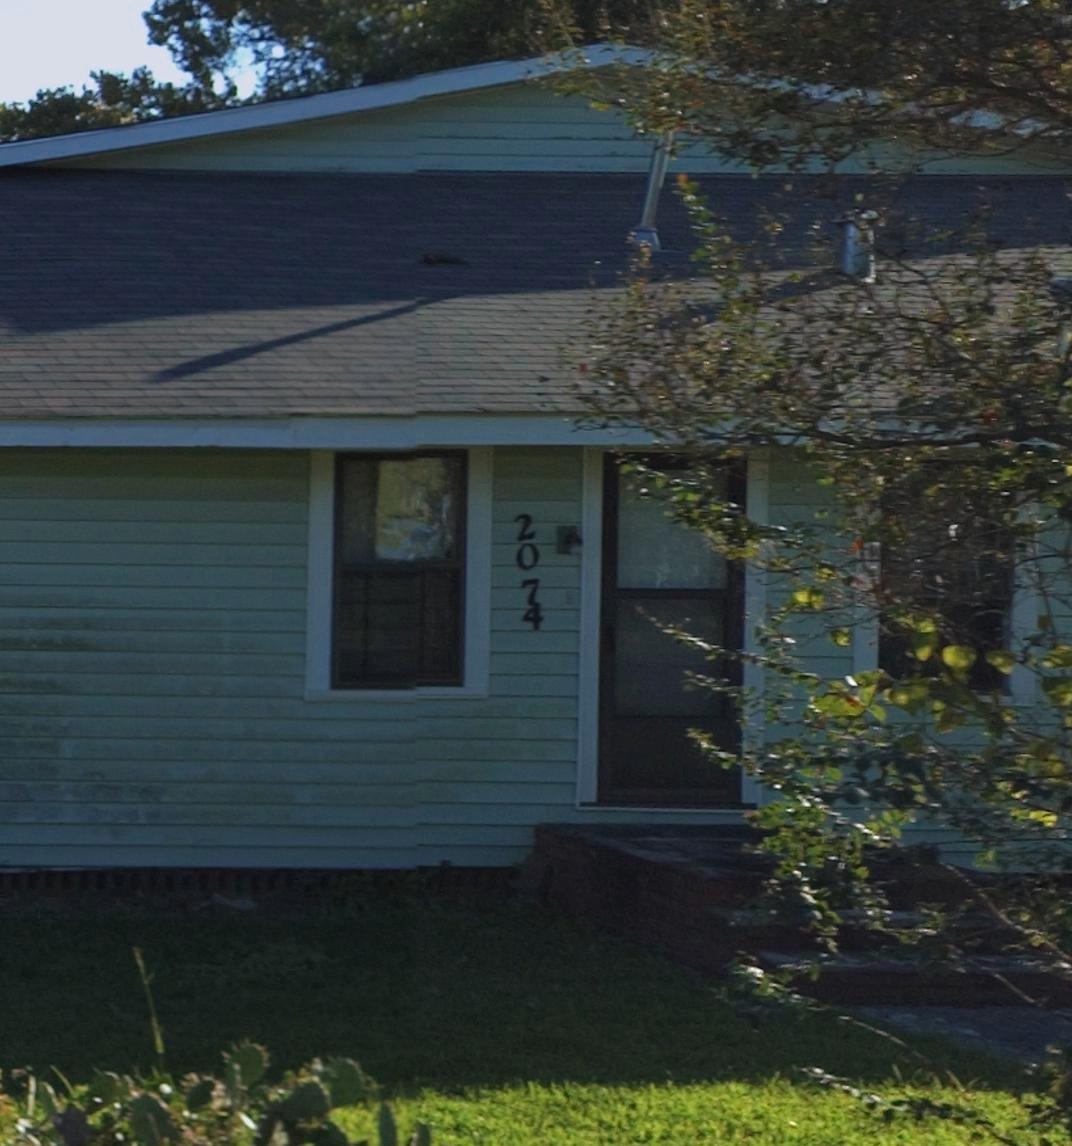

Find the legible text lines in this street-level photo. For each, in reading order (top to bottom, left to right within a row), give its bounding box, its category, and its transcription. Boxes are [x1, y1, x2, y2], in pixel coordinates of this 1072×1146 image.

[511, 510, 546, 631] StreetNumber: 2074